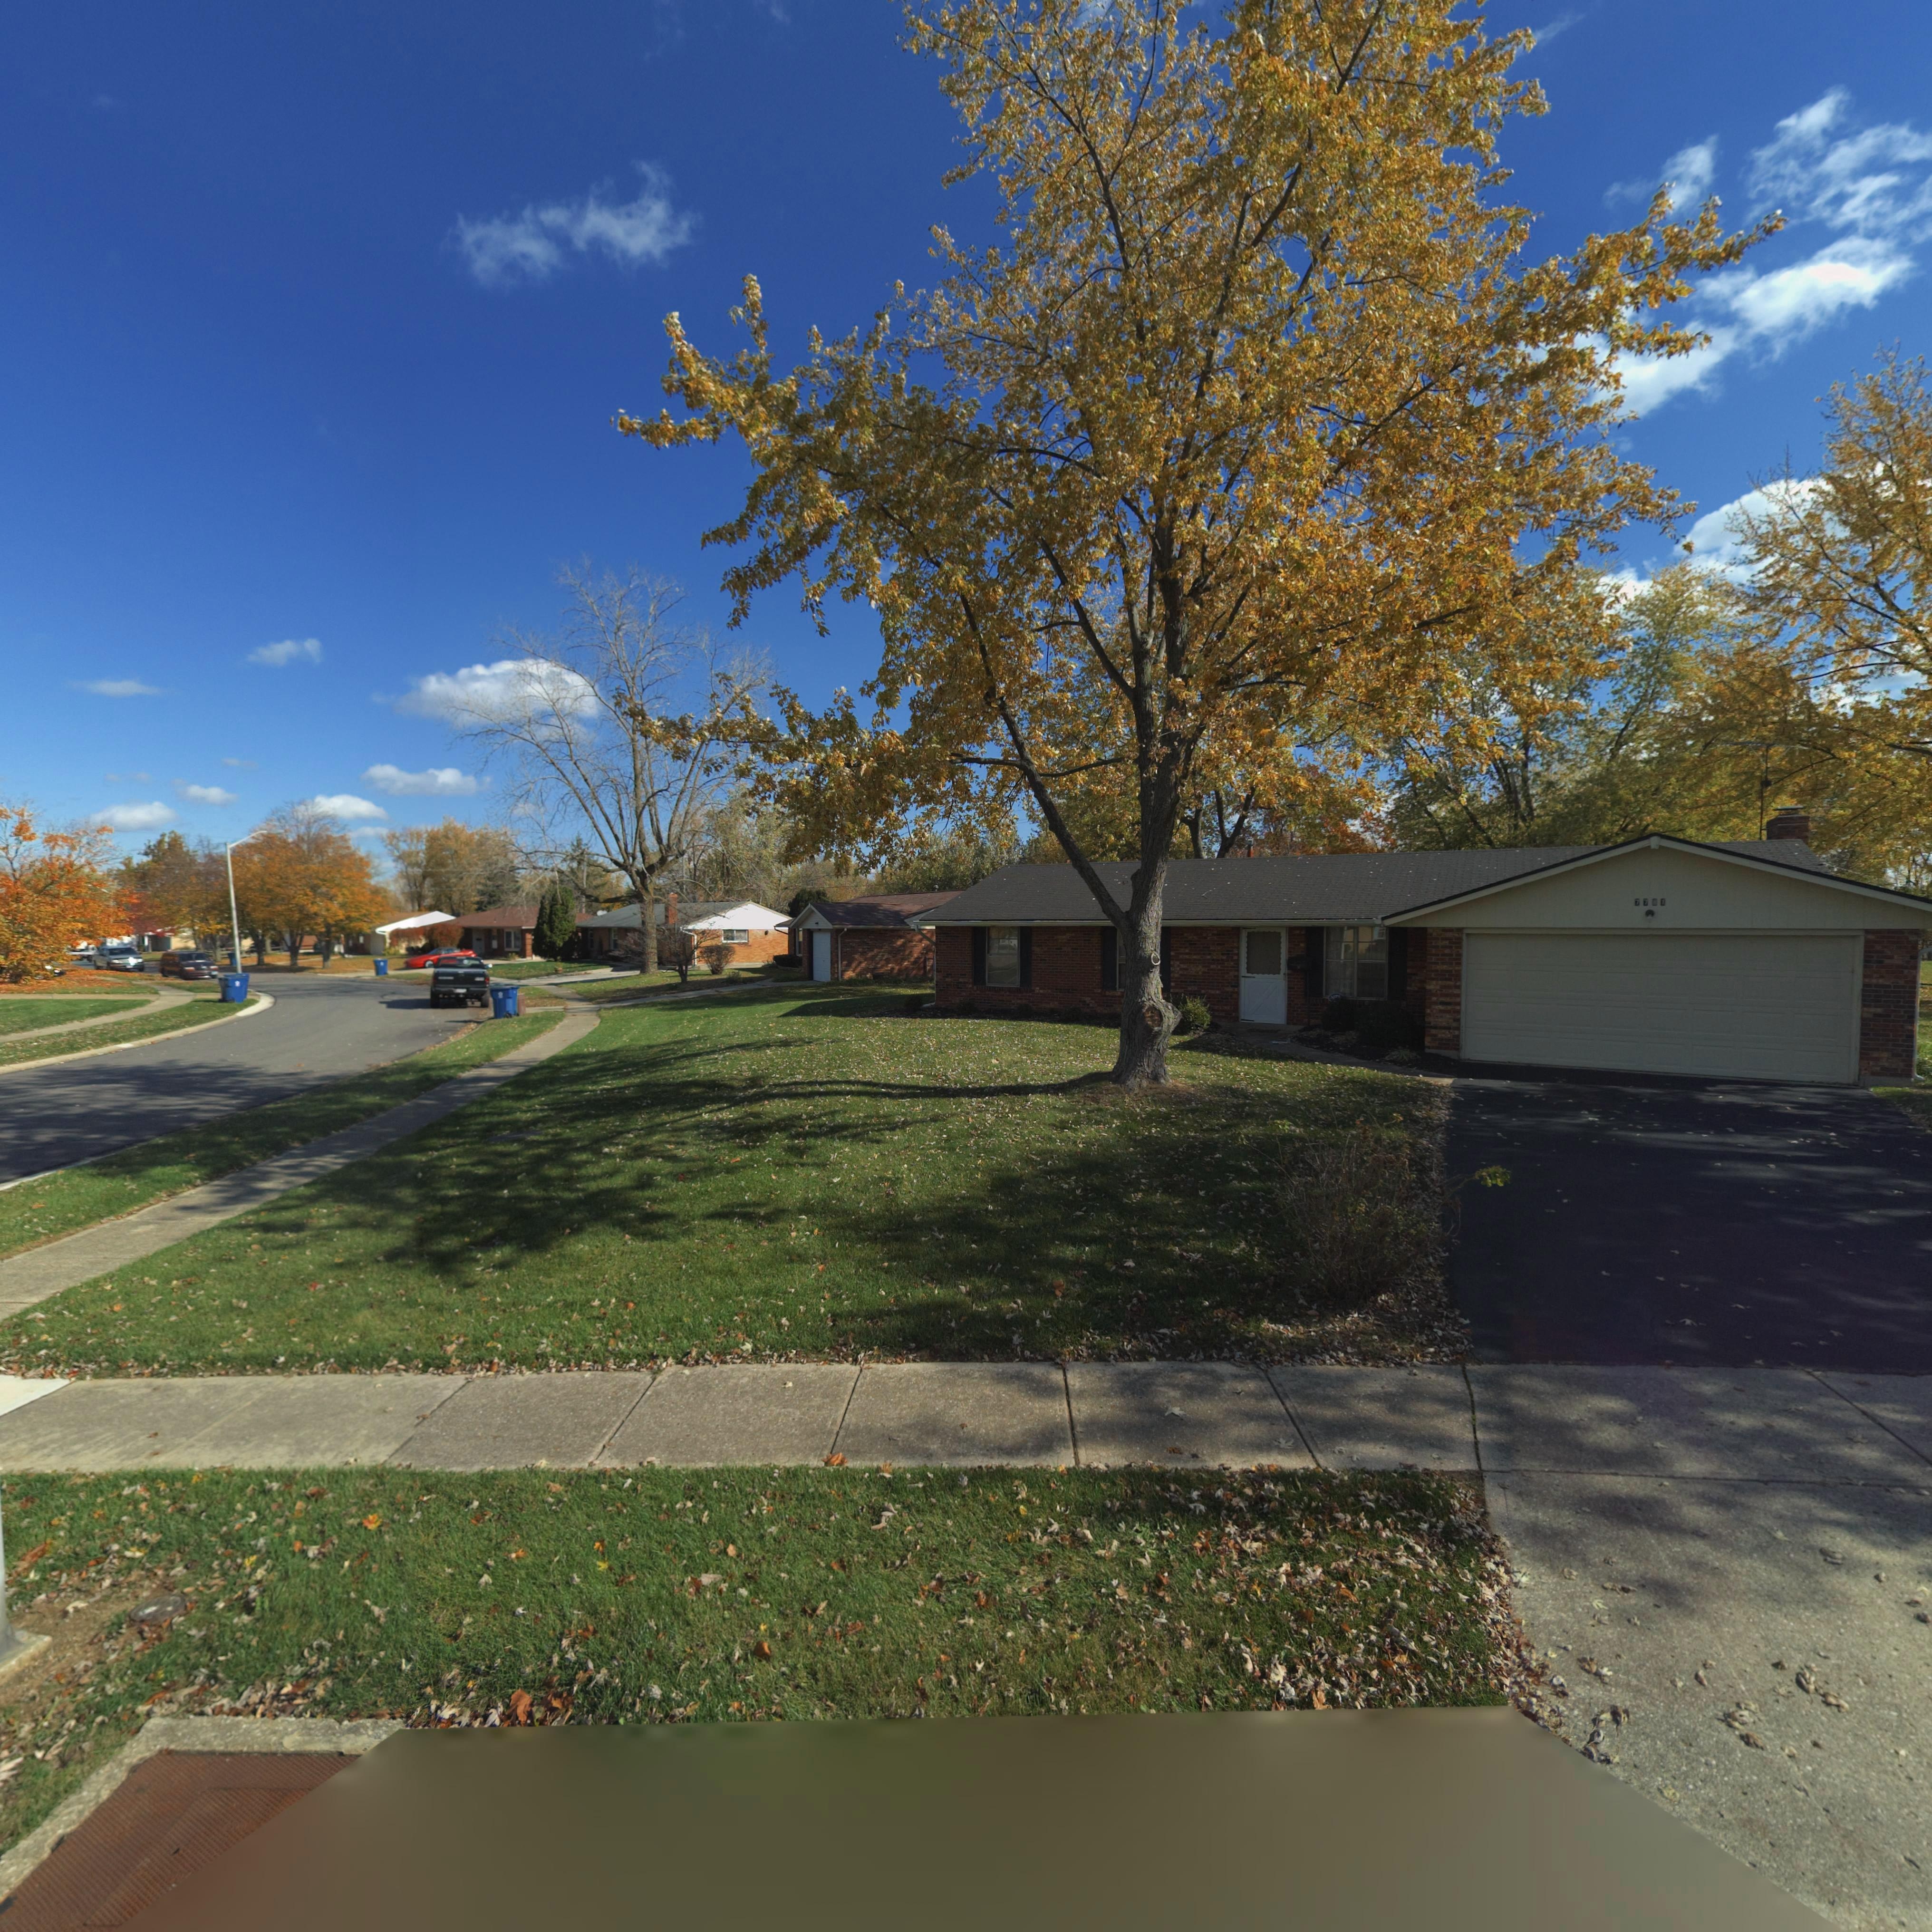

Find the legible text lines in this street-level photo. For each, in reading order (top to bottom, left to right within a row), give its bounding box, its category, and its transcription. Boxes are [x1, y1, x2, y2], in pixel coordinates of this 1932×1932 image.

[1634, 898, 1665, 907] StreetNumber: 7781